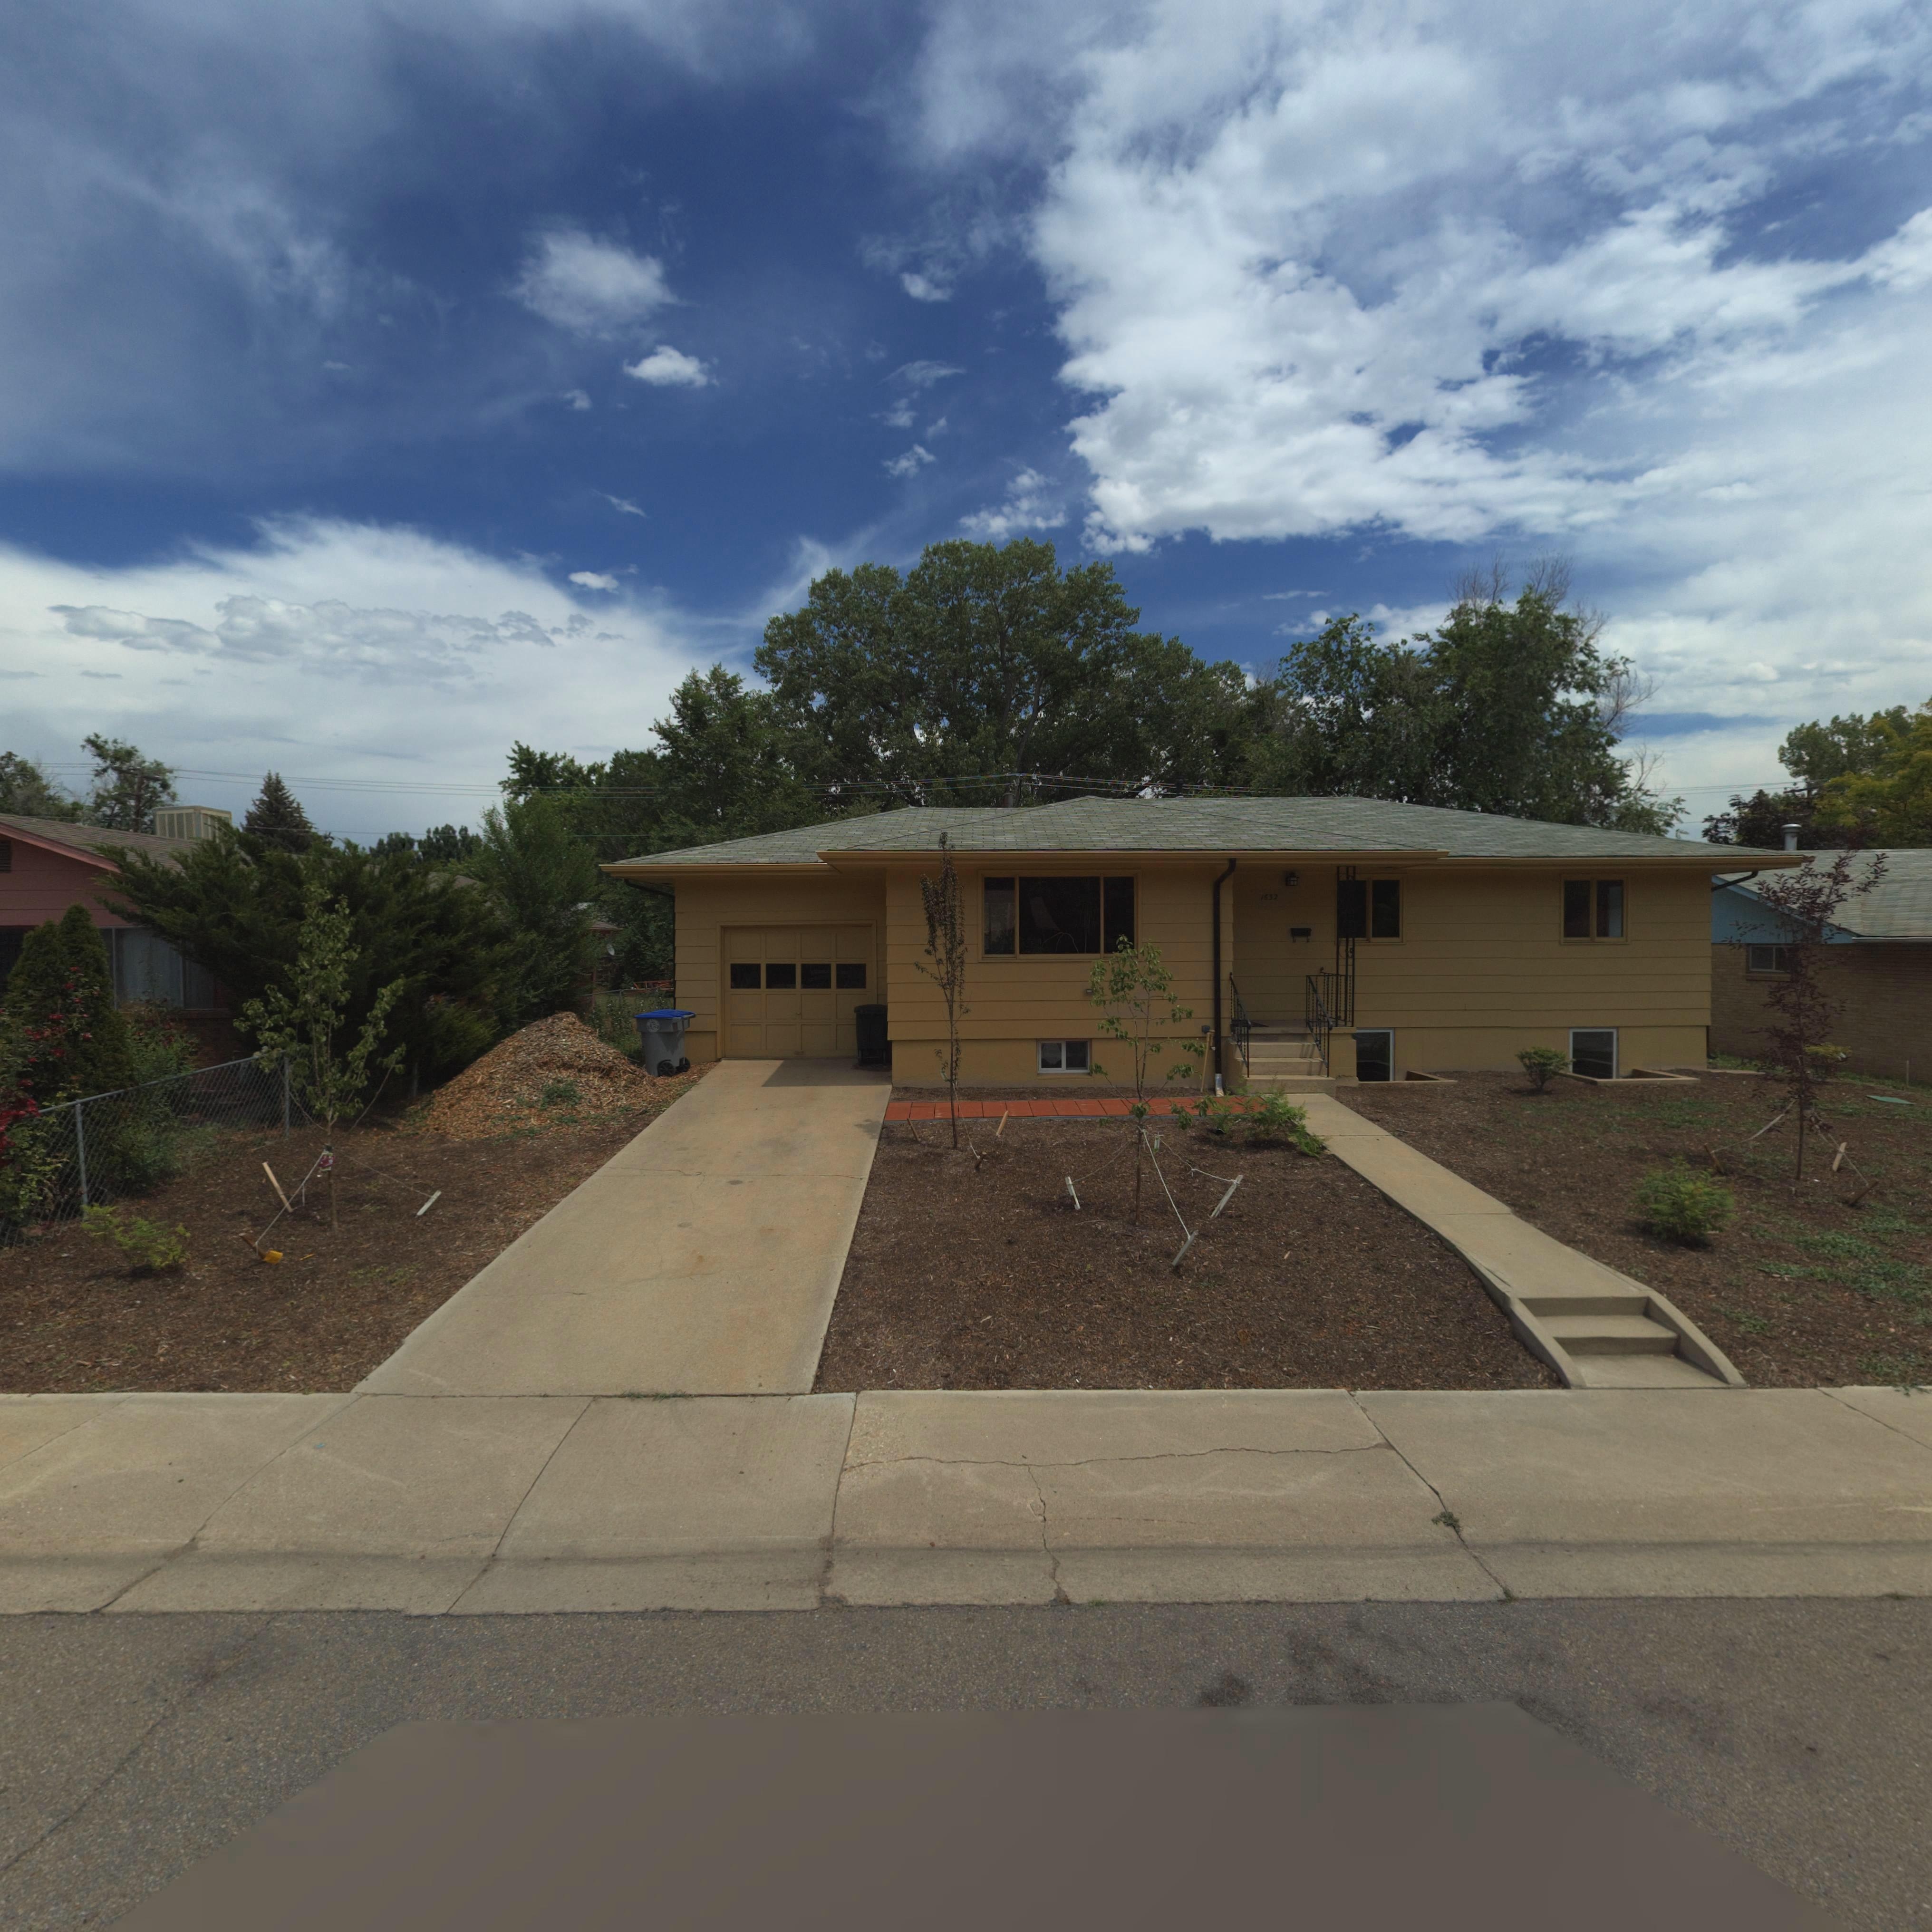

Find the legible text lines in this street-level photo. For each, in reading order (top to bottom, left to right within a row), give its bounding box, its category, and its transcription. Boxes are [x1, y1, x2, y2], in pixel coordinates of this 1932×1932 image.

[1260, 893, 1278, 900] StreetNumber: 1632